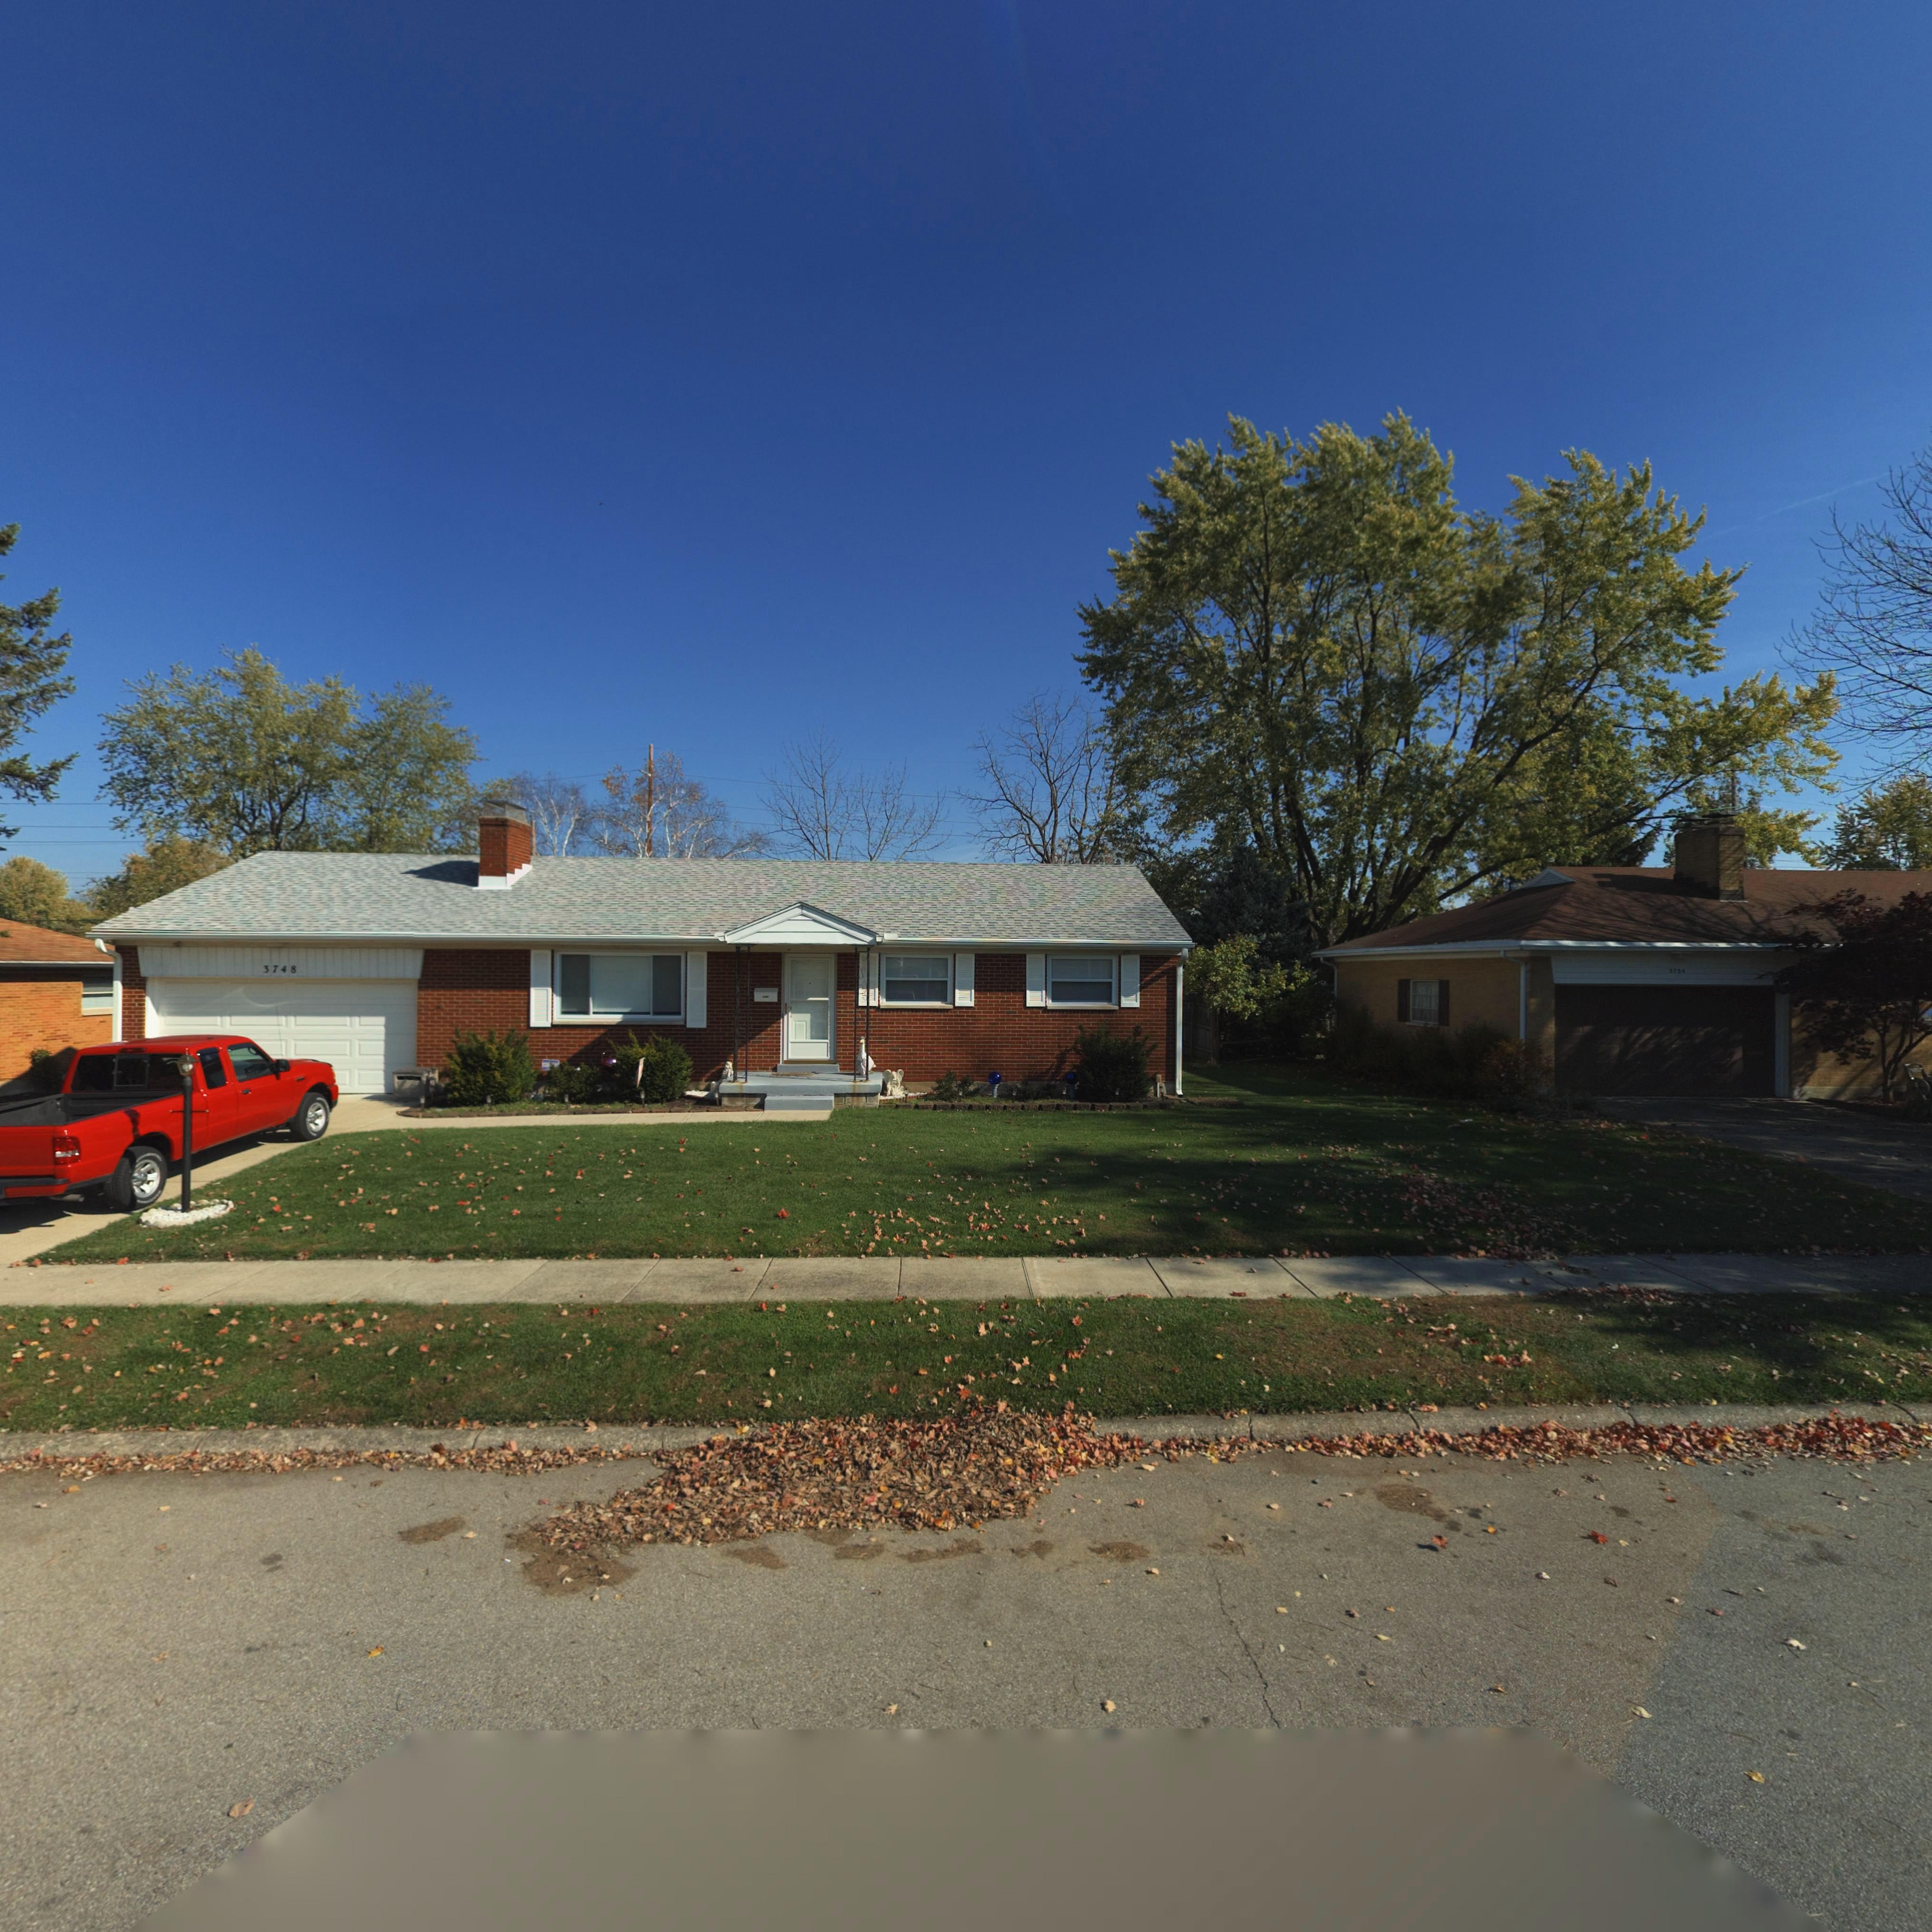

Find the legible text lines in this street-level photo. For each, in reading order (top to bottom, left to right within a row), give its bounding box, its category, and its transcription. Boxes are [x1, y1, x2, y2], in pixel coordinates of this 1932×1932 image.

[262, 964, 298, 975] StreetNumber: 3748
[1668, 968, 1687, 974] StreetNumber: 37*4